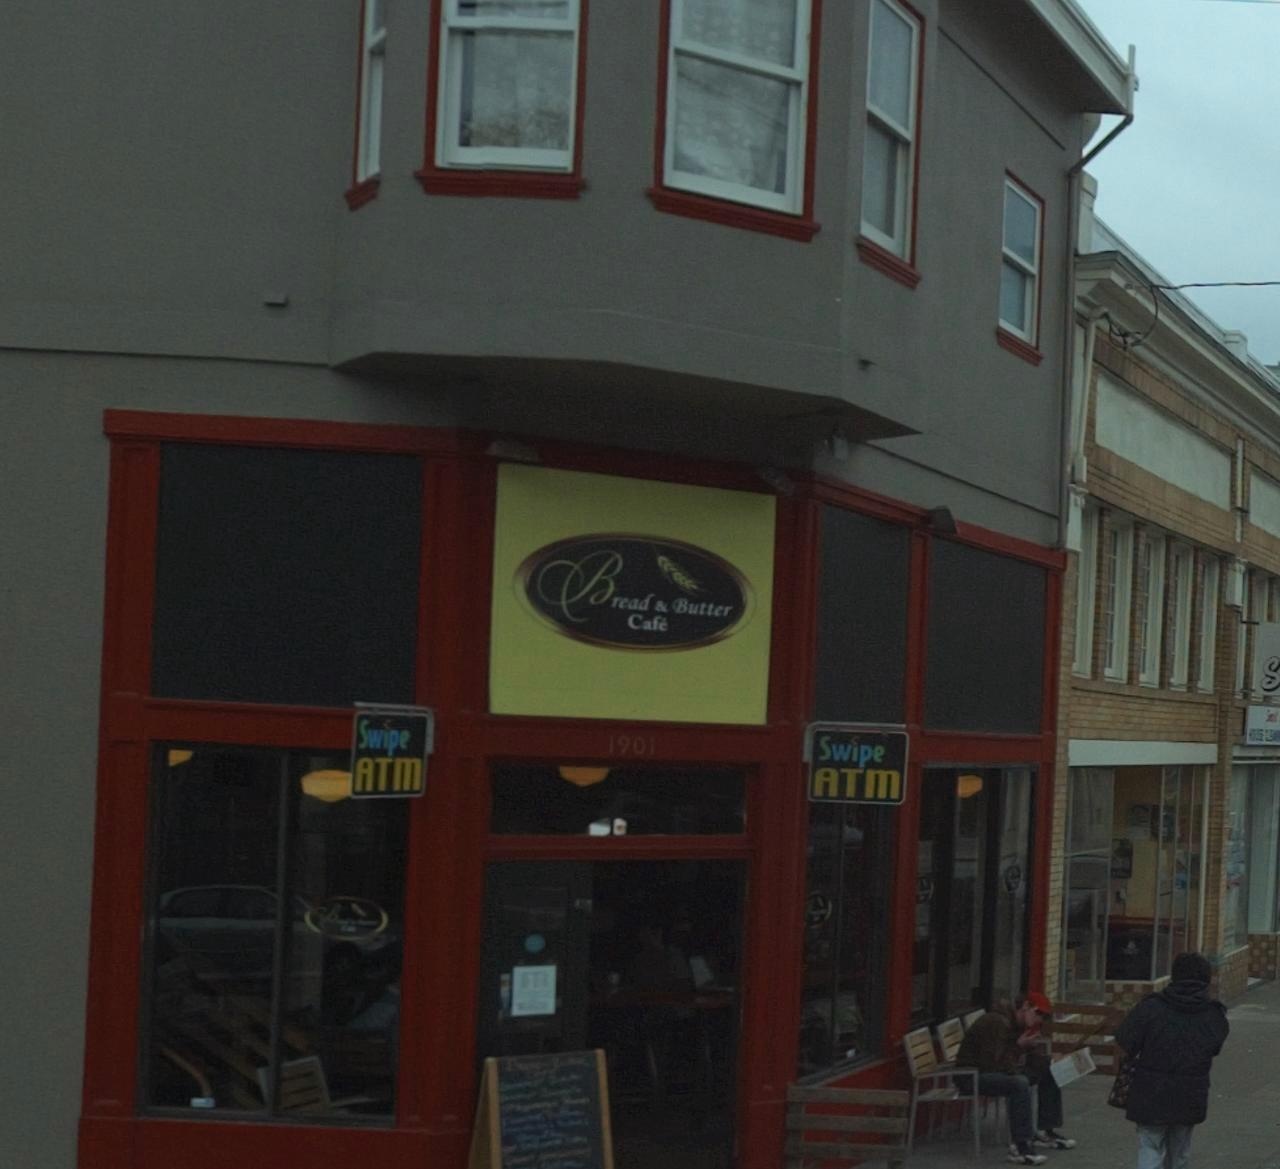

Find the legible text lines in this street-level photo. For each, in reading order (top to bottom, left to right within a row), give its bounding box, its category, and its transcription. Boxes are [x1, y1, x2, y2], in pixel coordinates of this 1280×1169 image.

[534, 546, 735, 625] BusinessName: Bread & Butter
[626, 611, 671, 632] None: Cafe
[1259, 655, 1280, 693] None: S
[357, 717, 412, 757] None: Swipe
[607, 732, 657, 758] StreetNumber: 1901
[818, 734, 886, 769] None: Swipe
[354, 756, 422, 793] None: ATM
[812, 768, 902, 800] None: ATM